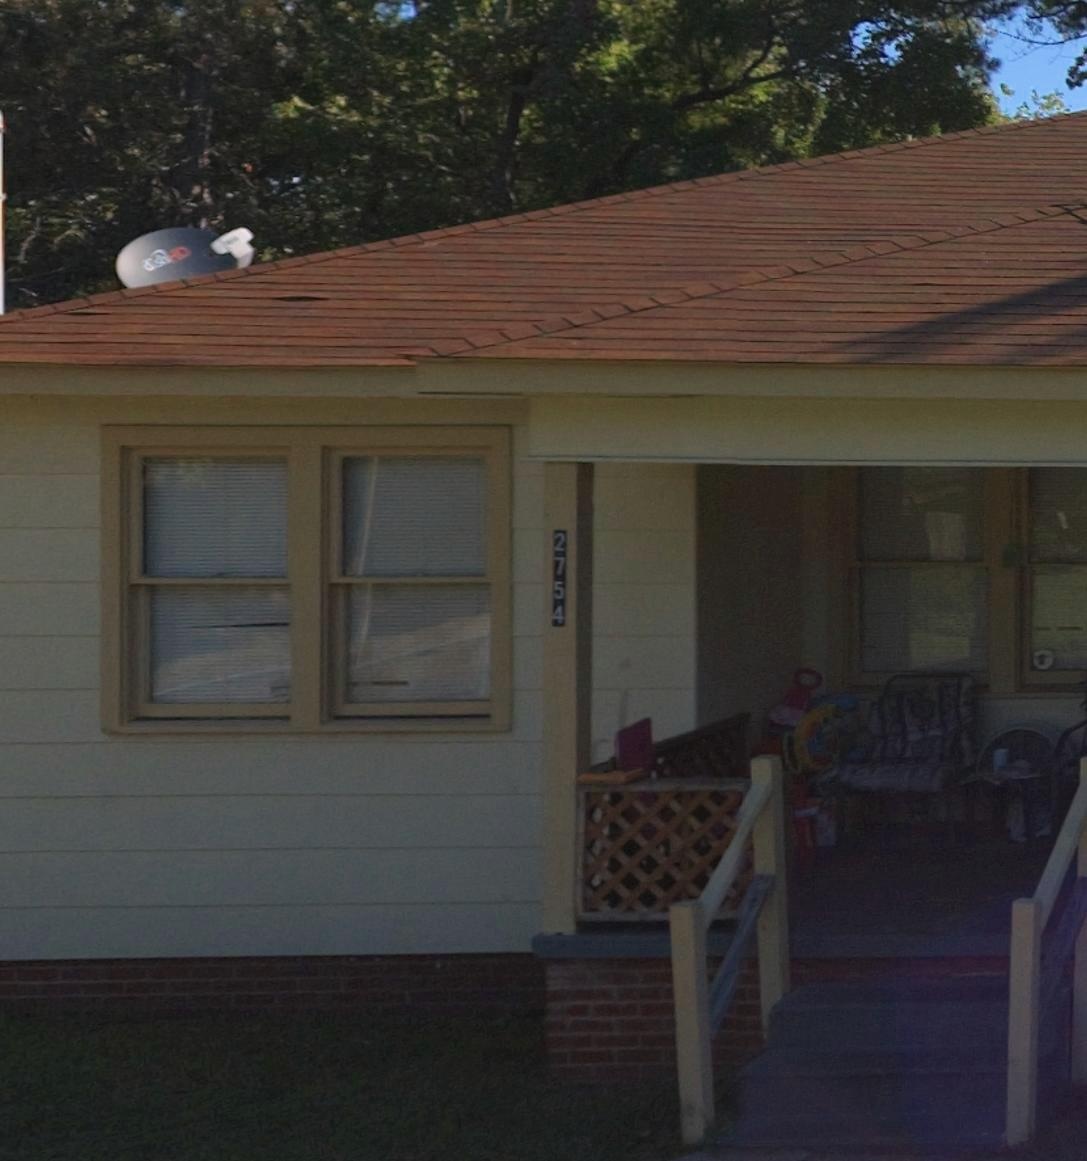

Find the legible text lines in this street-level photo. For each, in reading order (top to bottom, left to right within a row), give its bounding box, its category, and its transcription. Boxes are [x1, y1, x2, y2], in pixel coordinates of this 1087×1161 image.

[550, 529, 568, 627] StreetNumber: 2754